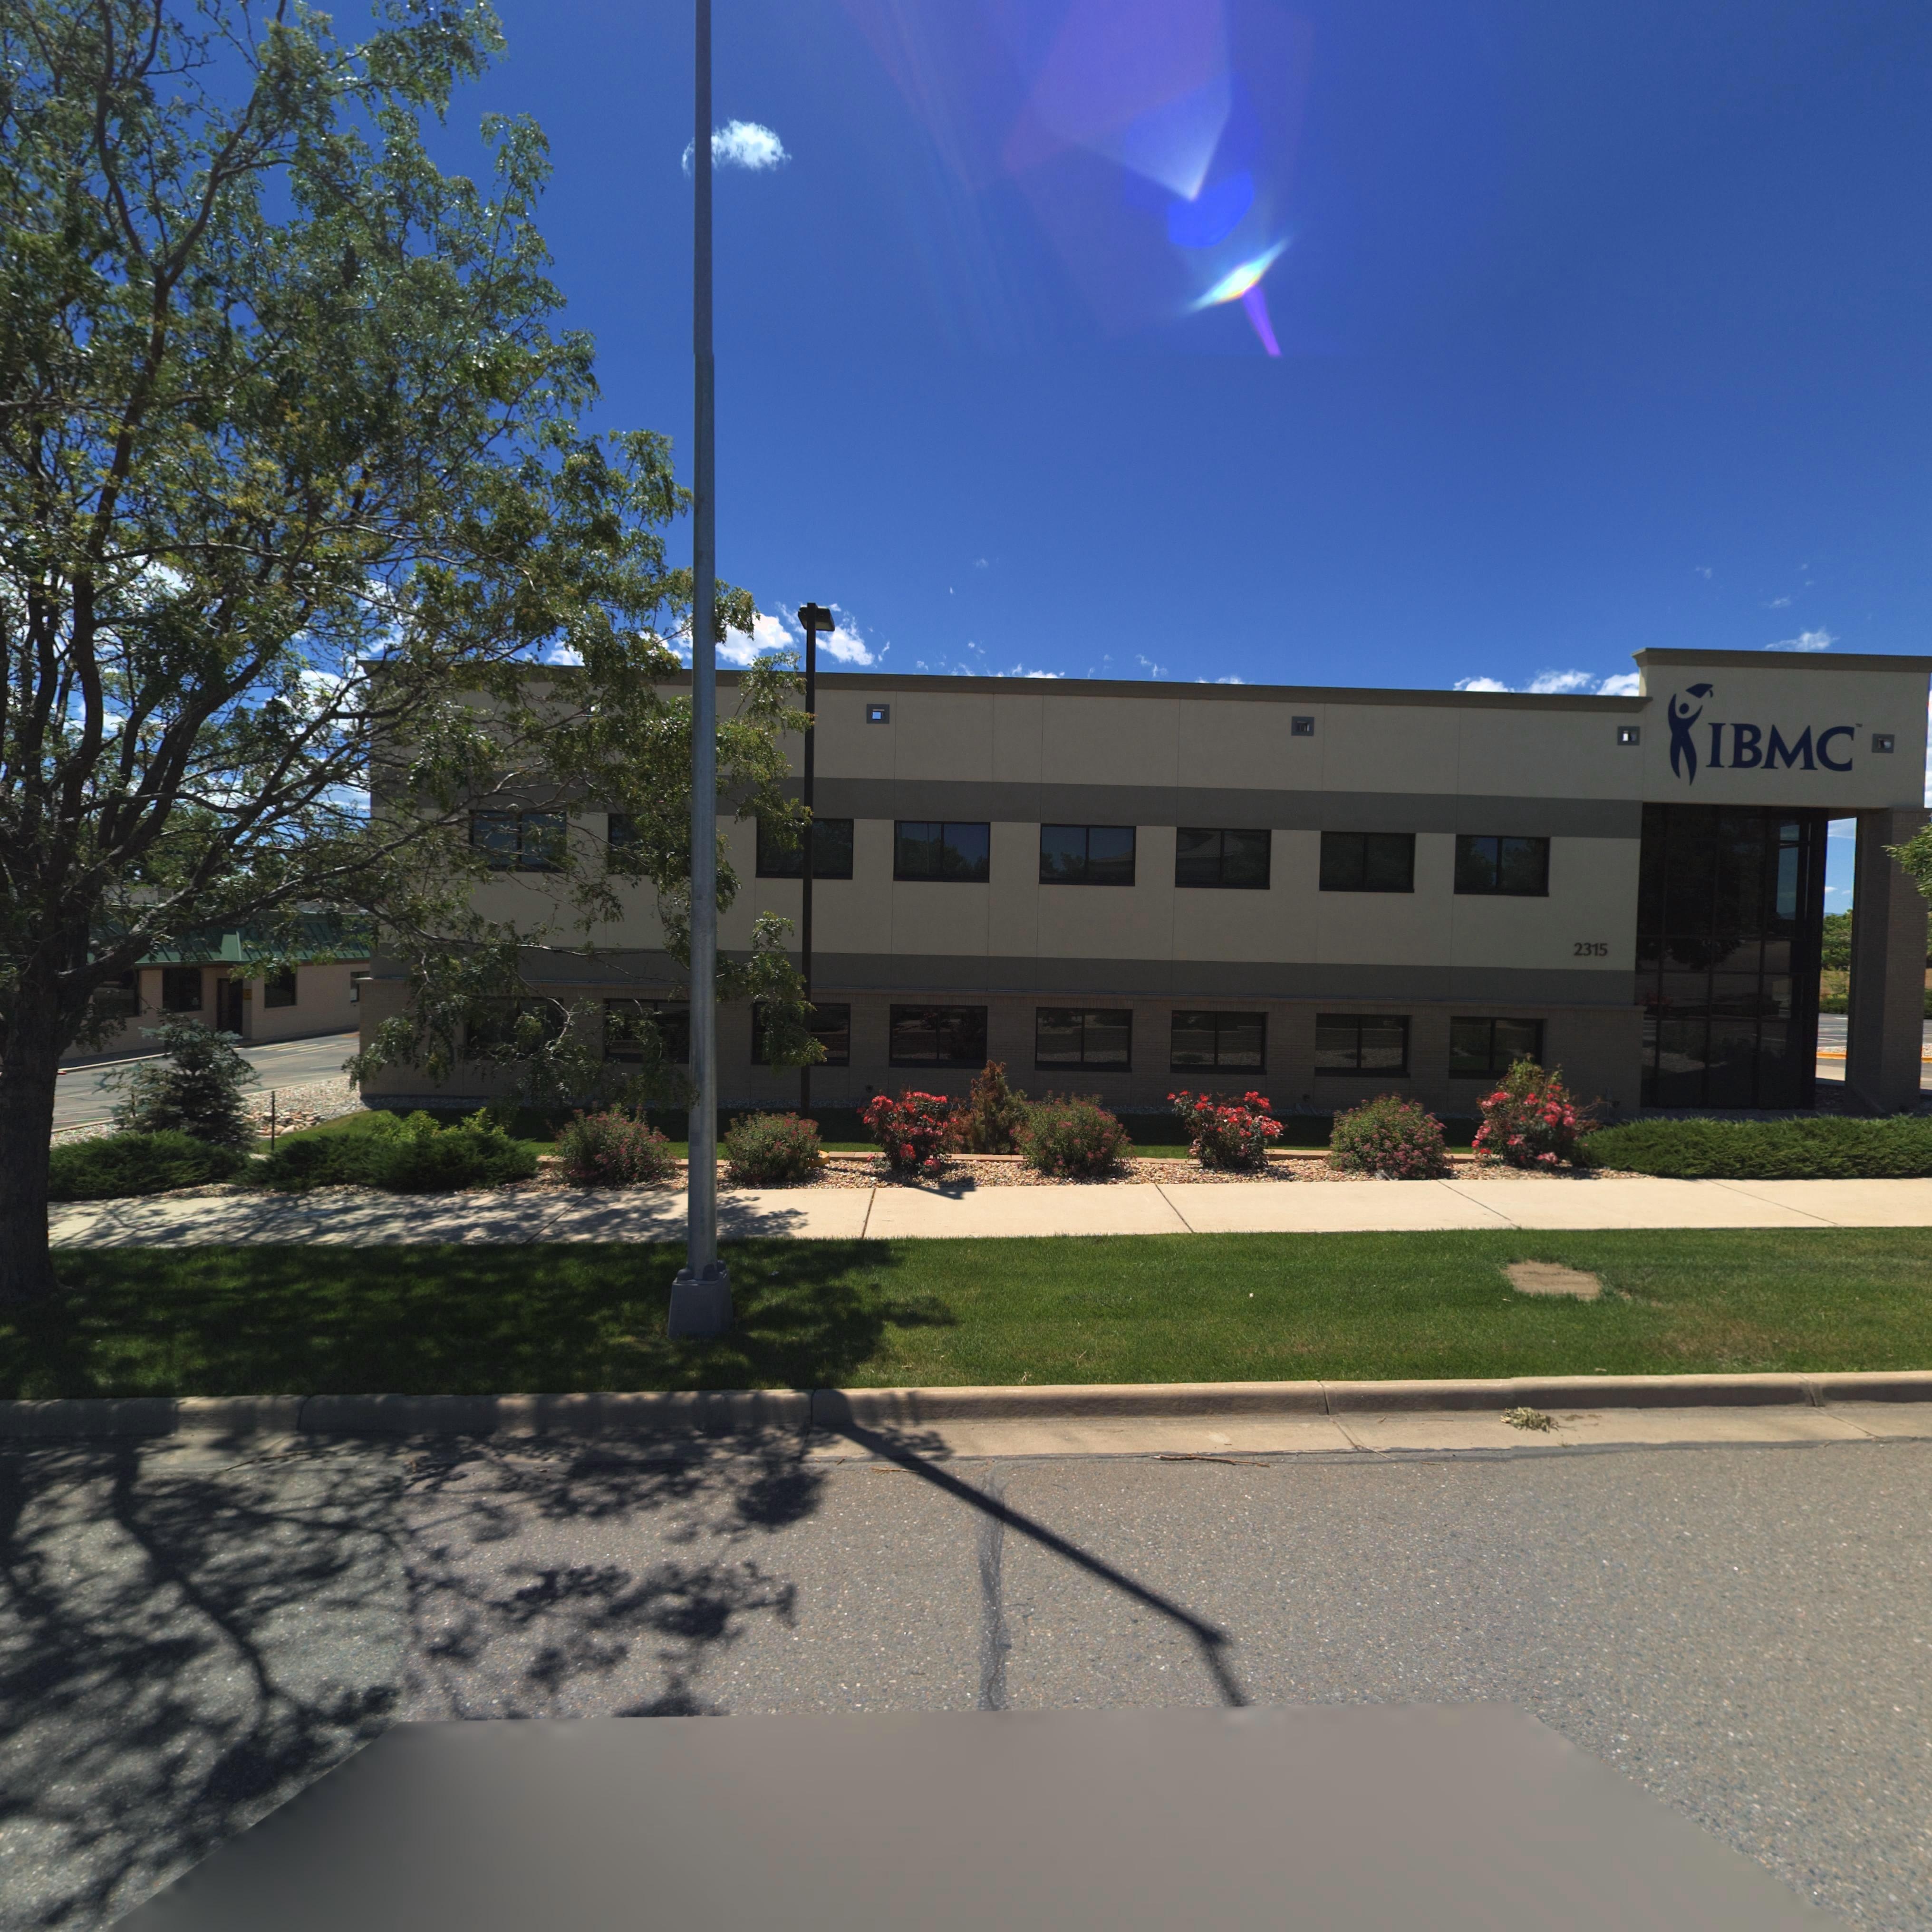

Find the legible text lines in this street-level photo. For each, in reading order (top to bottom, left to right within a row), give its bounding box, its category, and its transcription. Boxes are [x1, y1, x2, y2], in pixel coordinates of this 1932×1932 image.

[1705, 722, 1855, 772] BusinessName: IBMC
[1573, 942, 1608, 956] StreetNumber: 2315